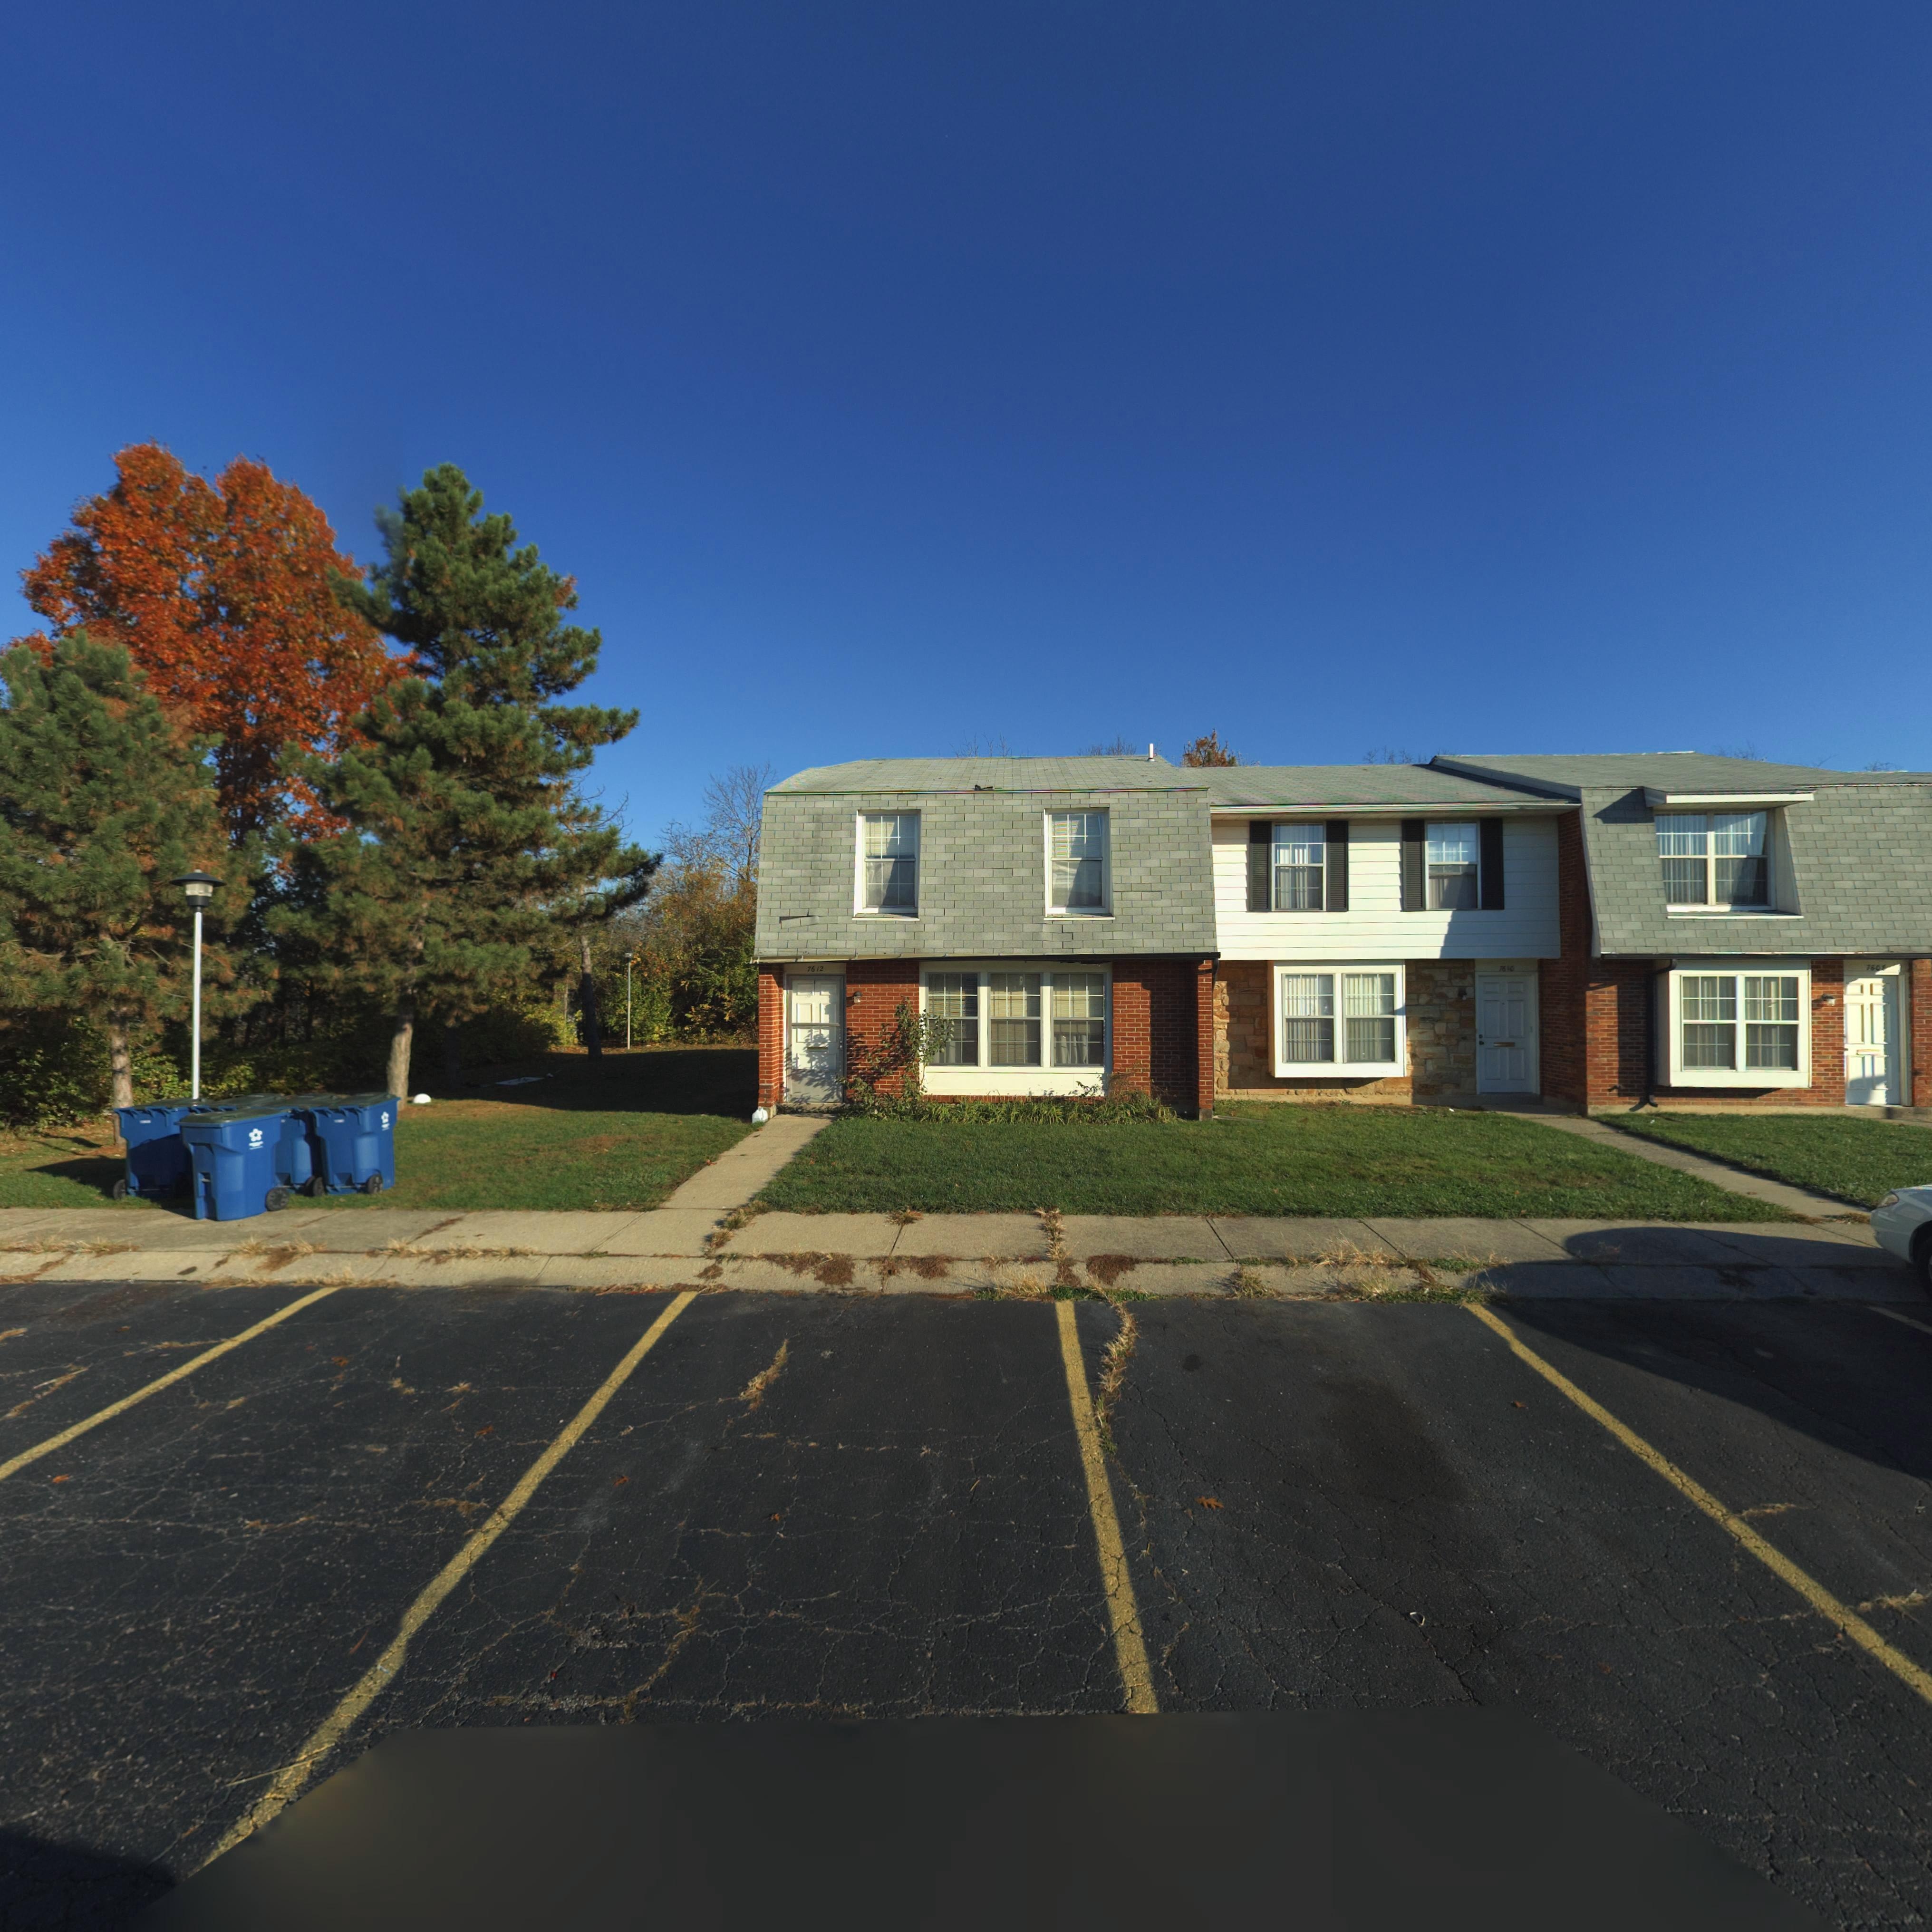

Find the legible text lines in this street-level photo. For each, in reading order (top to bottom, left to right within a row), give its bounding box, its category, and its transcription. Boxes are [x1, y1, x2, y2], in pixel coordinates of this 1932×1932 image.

[806, 964, 825, 973] StreetNumber: 7612
[1498, 964, 1516, 974] StreetNumber: 7610
[1864, 963, 1887, 972] StreetNumber: 760*